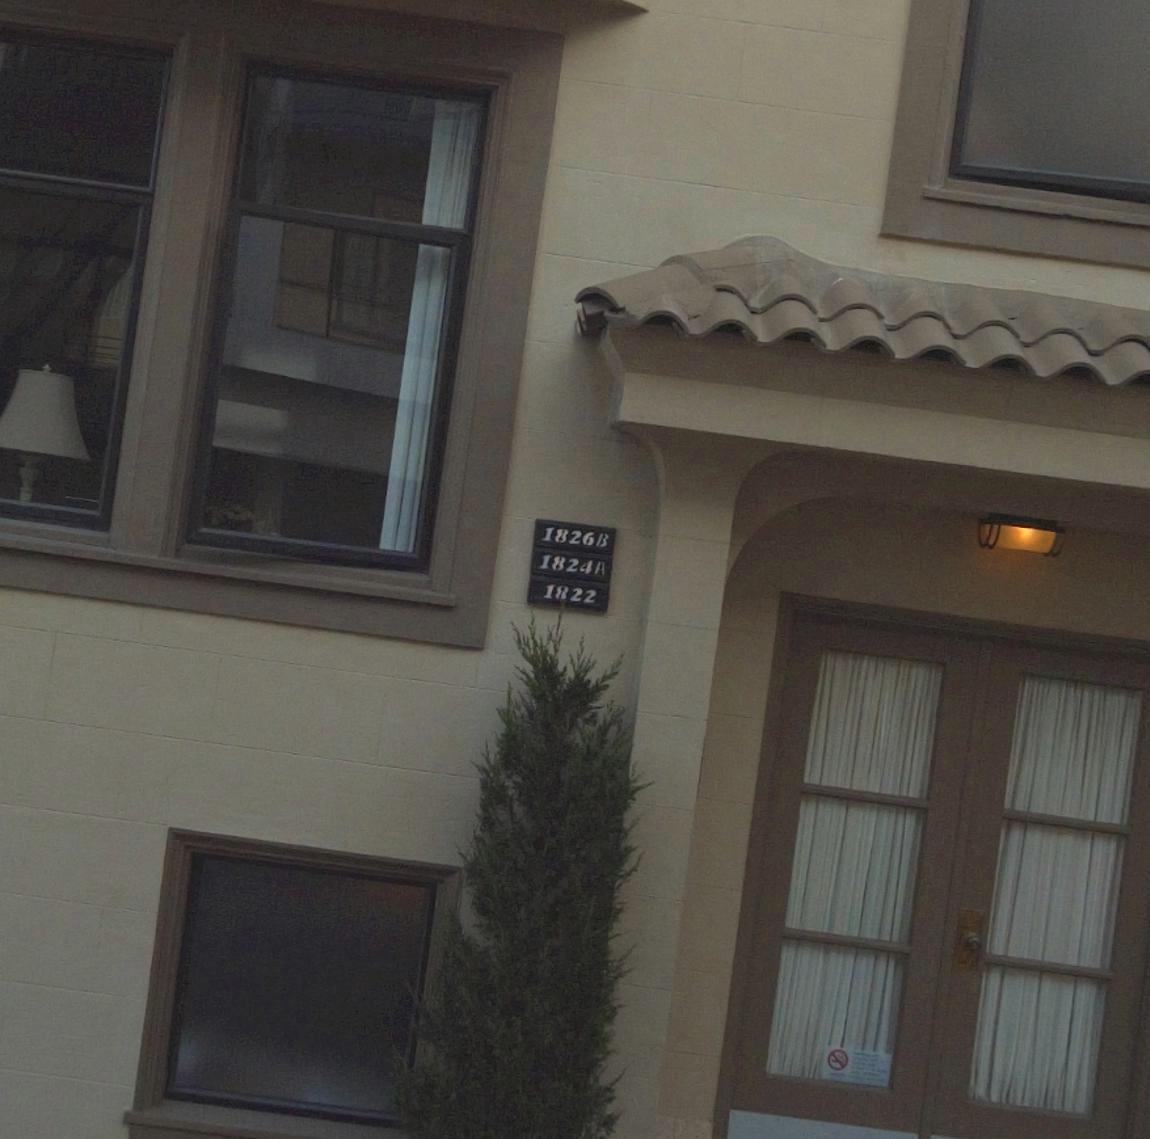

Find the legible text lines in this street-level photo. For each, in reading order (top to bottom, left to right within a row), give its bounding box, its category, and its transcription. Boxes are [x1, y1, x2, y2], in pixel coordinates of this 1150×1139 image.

[541, 524, 611, 550] StreetNumber: 1826B
[535, 552, 608, 579] StreetNumber: 1824A
[539, 580, 600, 606] StreetNumber: 1822